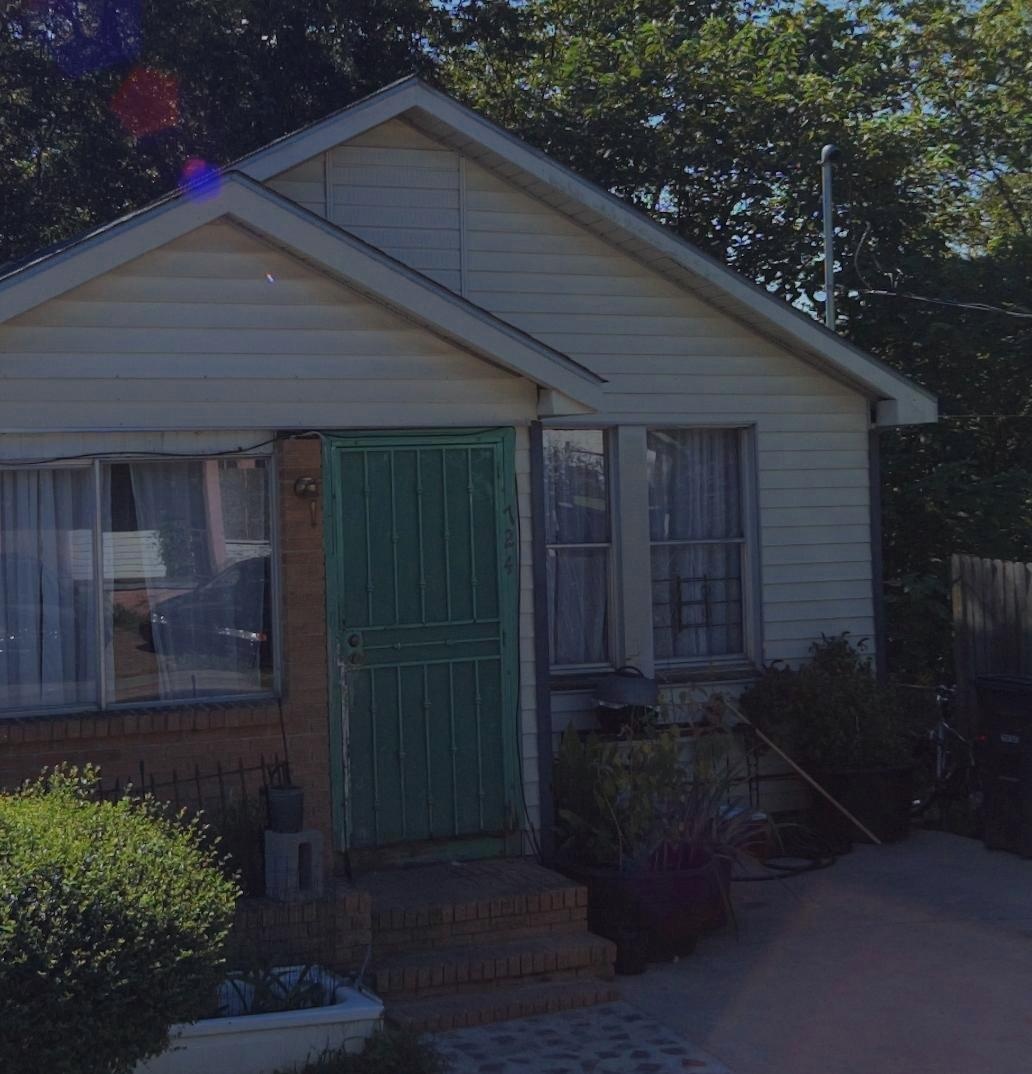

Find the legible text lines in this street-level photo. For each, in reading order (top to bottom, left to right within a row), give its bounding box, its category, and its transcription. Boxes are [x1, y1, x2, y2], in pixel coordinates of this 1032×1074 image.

[500, 502, 518, 581] StreetNumber: 724